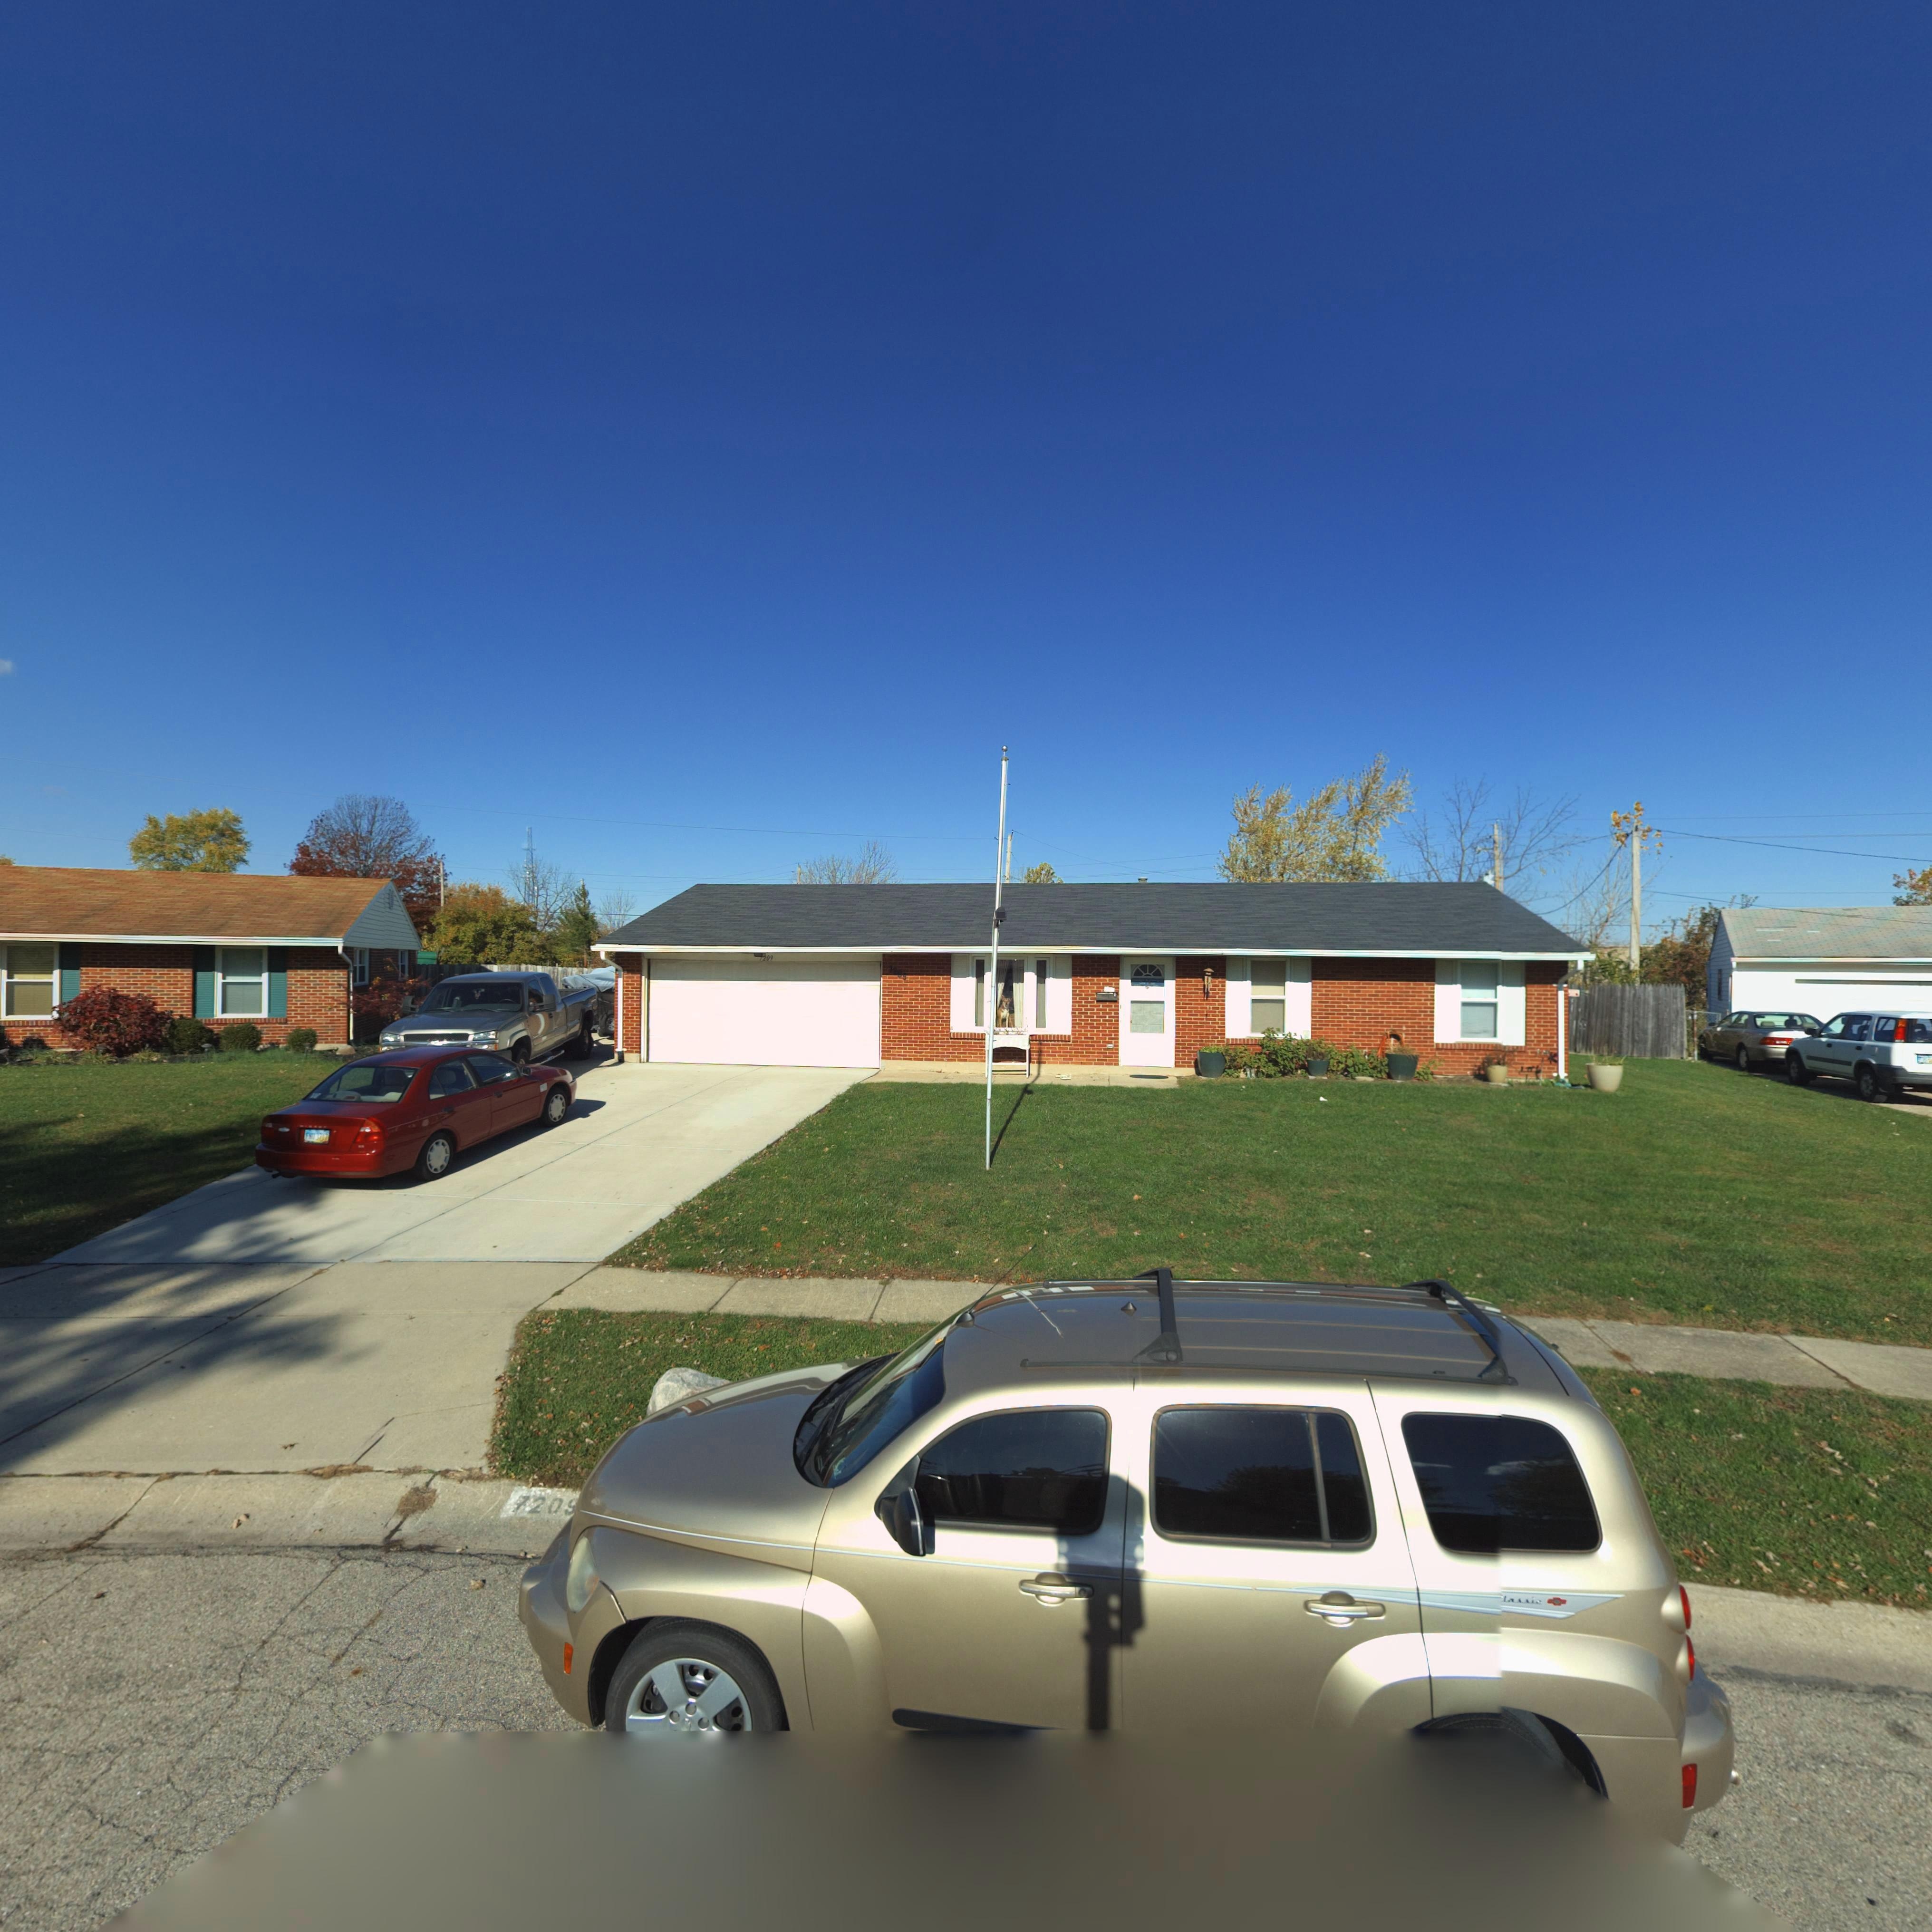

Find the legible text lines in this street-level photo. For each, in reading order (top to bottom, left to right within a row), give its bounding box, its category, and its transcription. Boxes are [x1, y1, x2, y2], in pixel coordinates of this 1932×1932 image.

[765, 954, 774, 962] StreetNumber: 09
[887, 964, 908, 982] StreetNumber: 72*9
[509, 1494, 579, 1518] StreetNumber: 720*